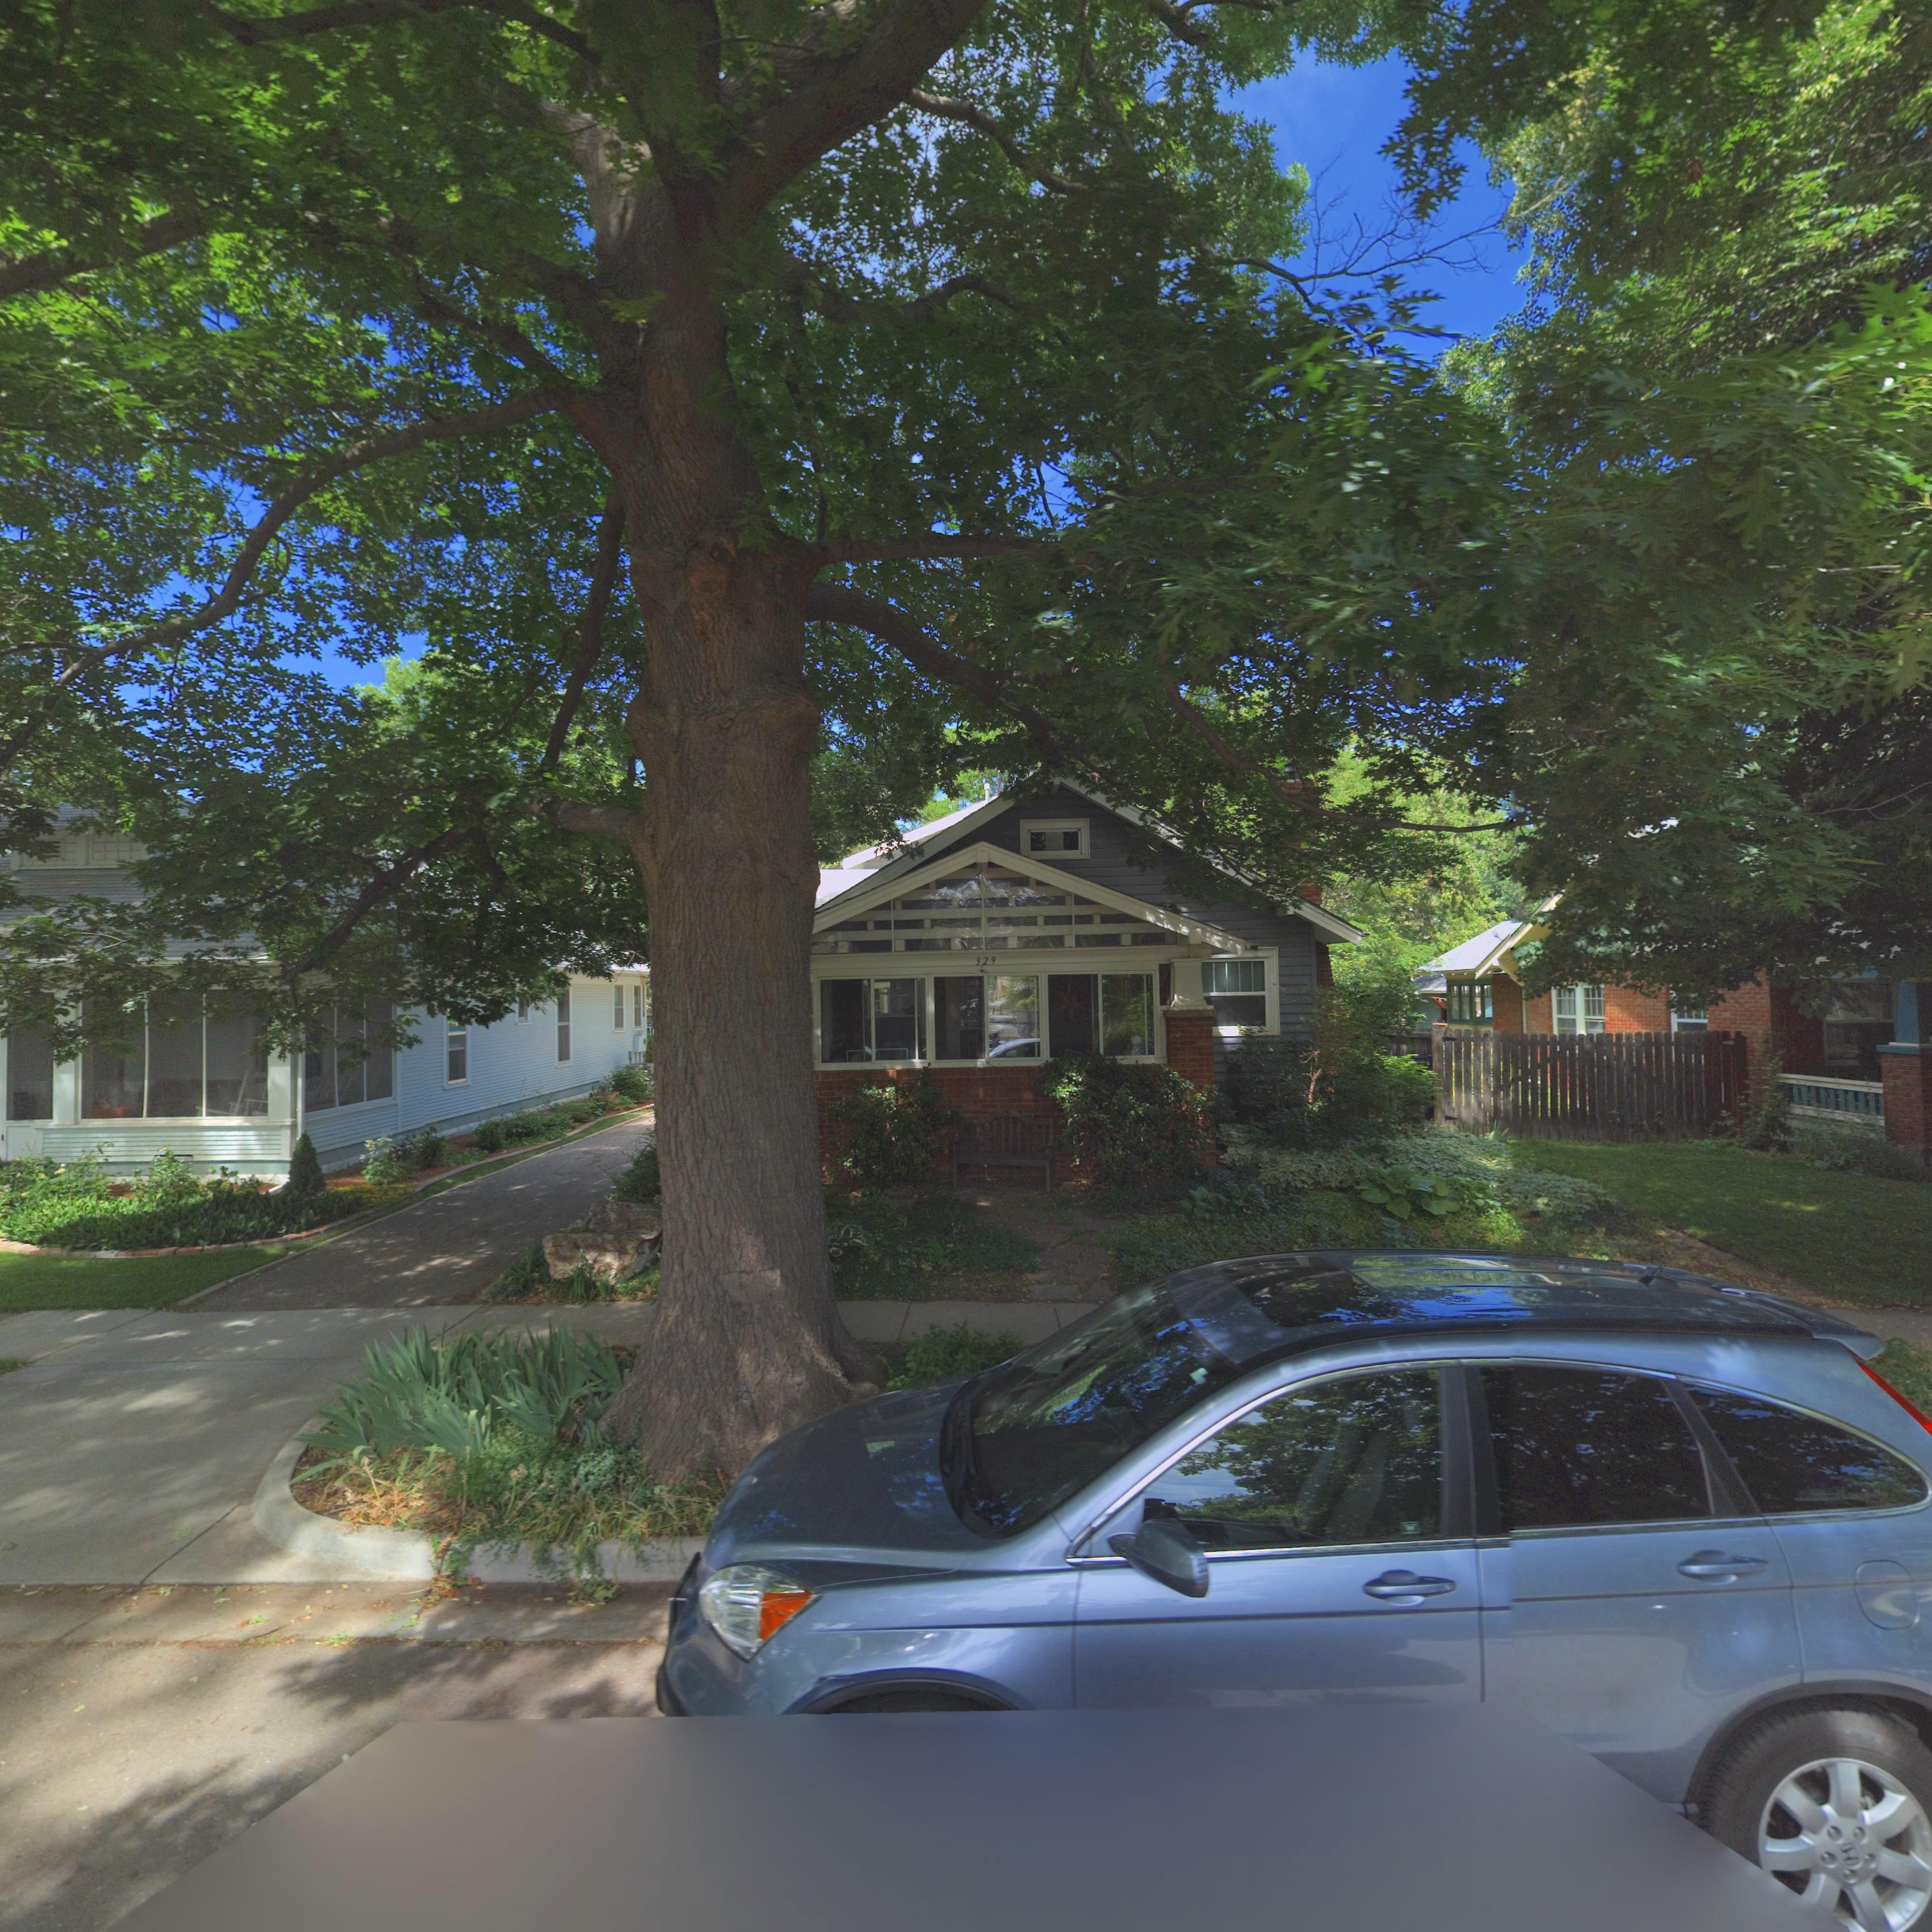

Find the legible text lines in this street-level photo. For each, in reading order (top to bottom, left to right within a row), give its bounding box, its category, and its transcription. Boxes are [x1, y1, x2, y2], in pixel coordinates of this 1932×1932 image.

[975, 956, 996, 966] StreetNumber: 329